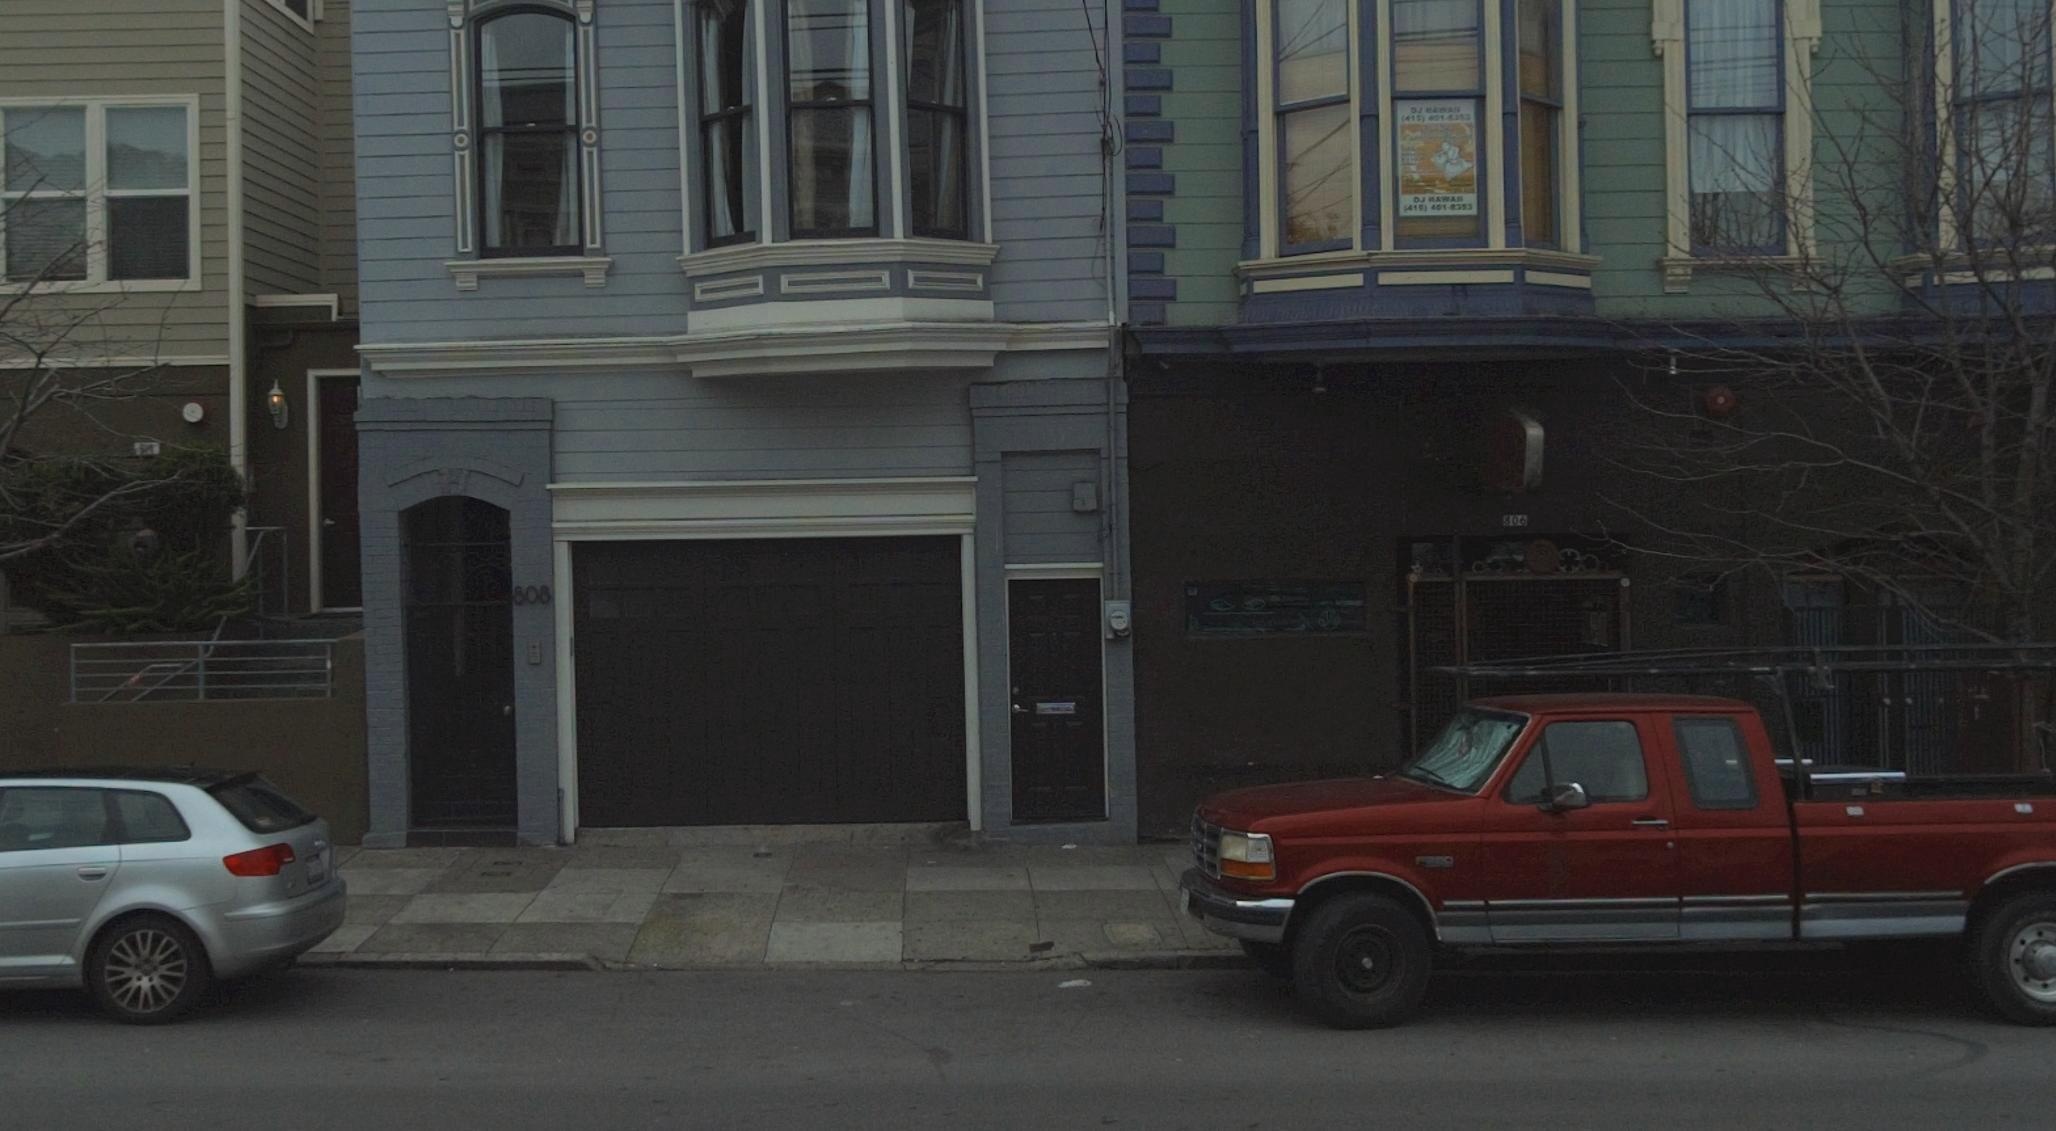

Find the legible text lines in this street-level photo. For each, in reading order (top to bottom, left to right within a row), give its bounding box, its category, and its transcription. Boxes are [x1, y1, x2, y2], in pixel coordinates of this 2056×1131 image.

[1409, 106, 1462, 114] None: DJ HAWAII
[1402, 113, 1471, 123] None: (415) 401-****
[1411, 194, 1465, 204] None: DJ HAWAII
[1403, 202, 1474, 213] None: (415) 401-8253
[1502, 513, 1528, 527] StreetNumber: 806
[511, 583, 553, 606] StreetNumber: 808